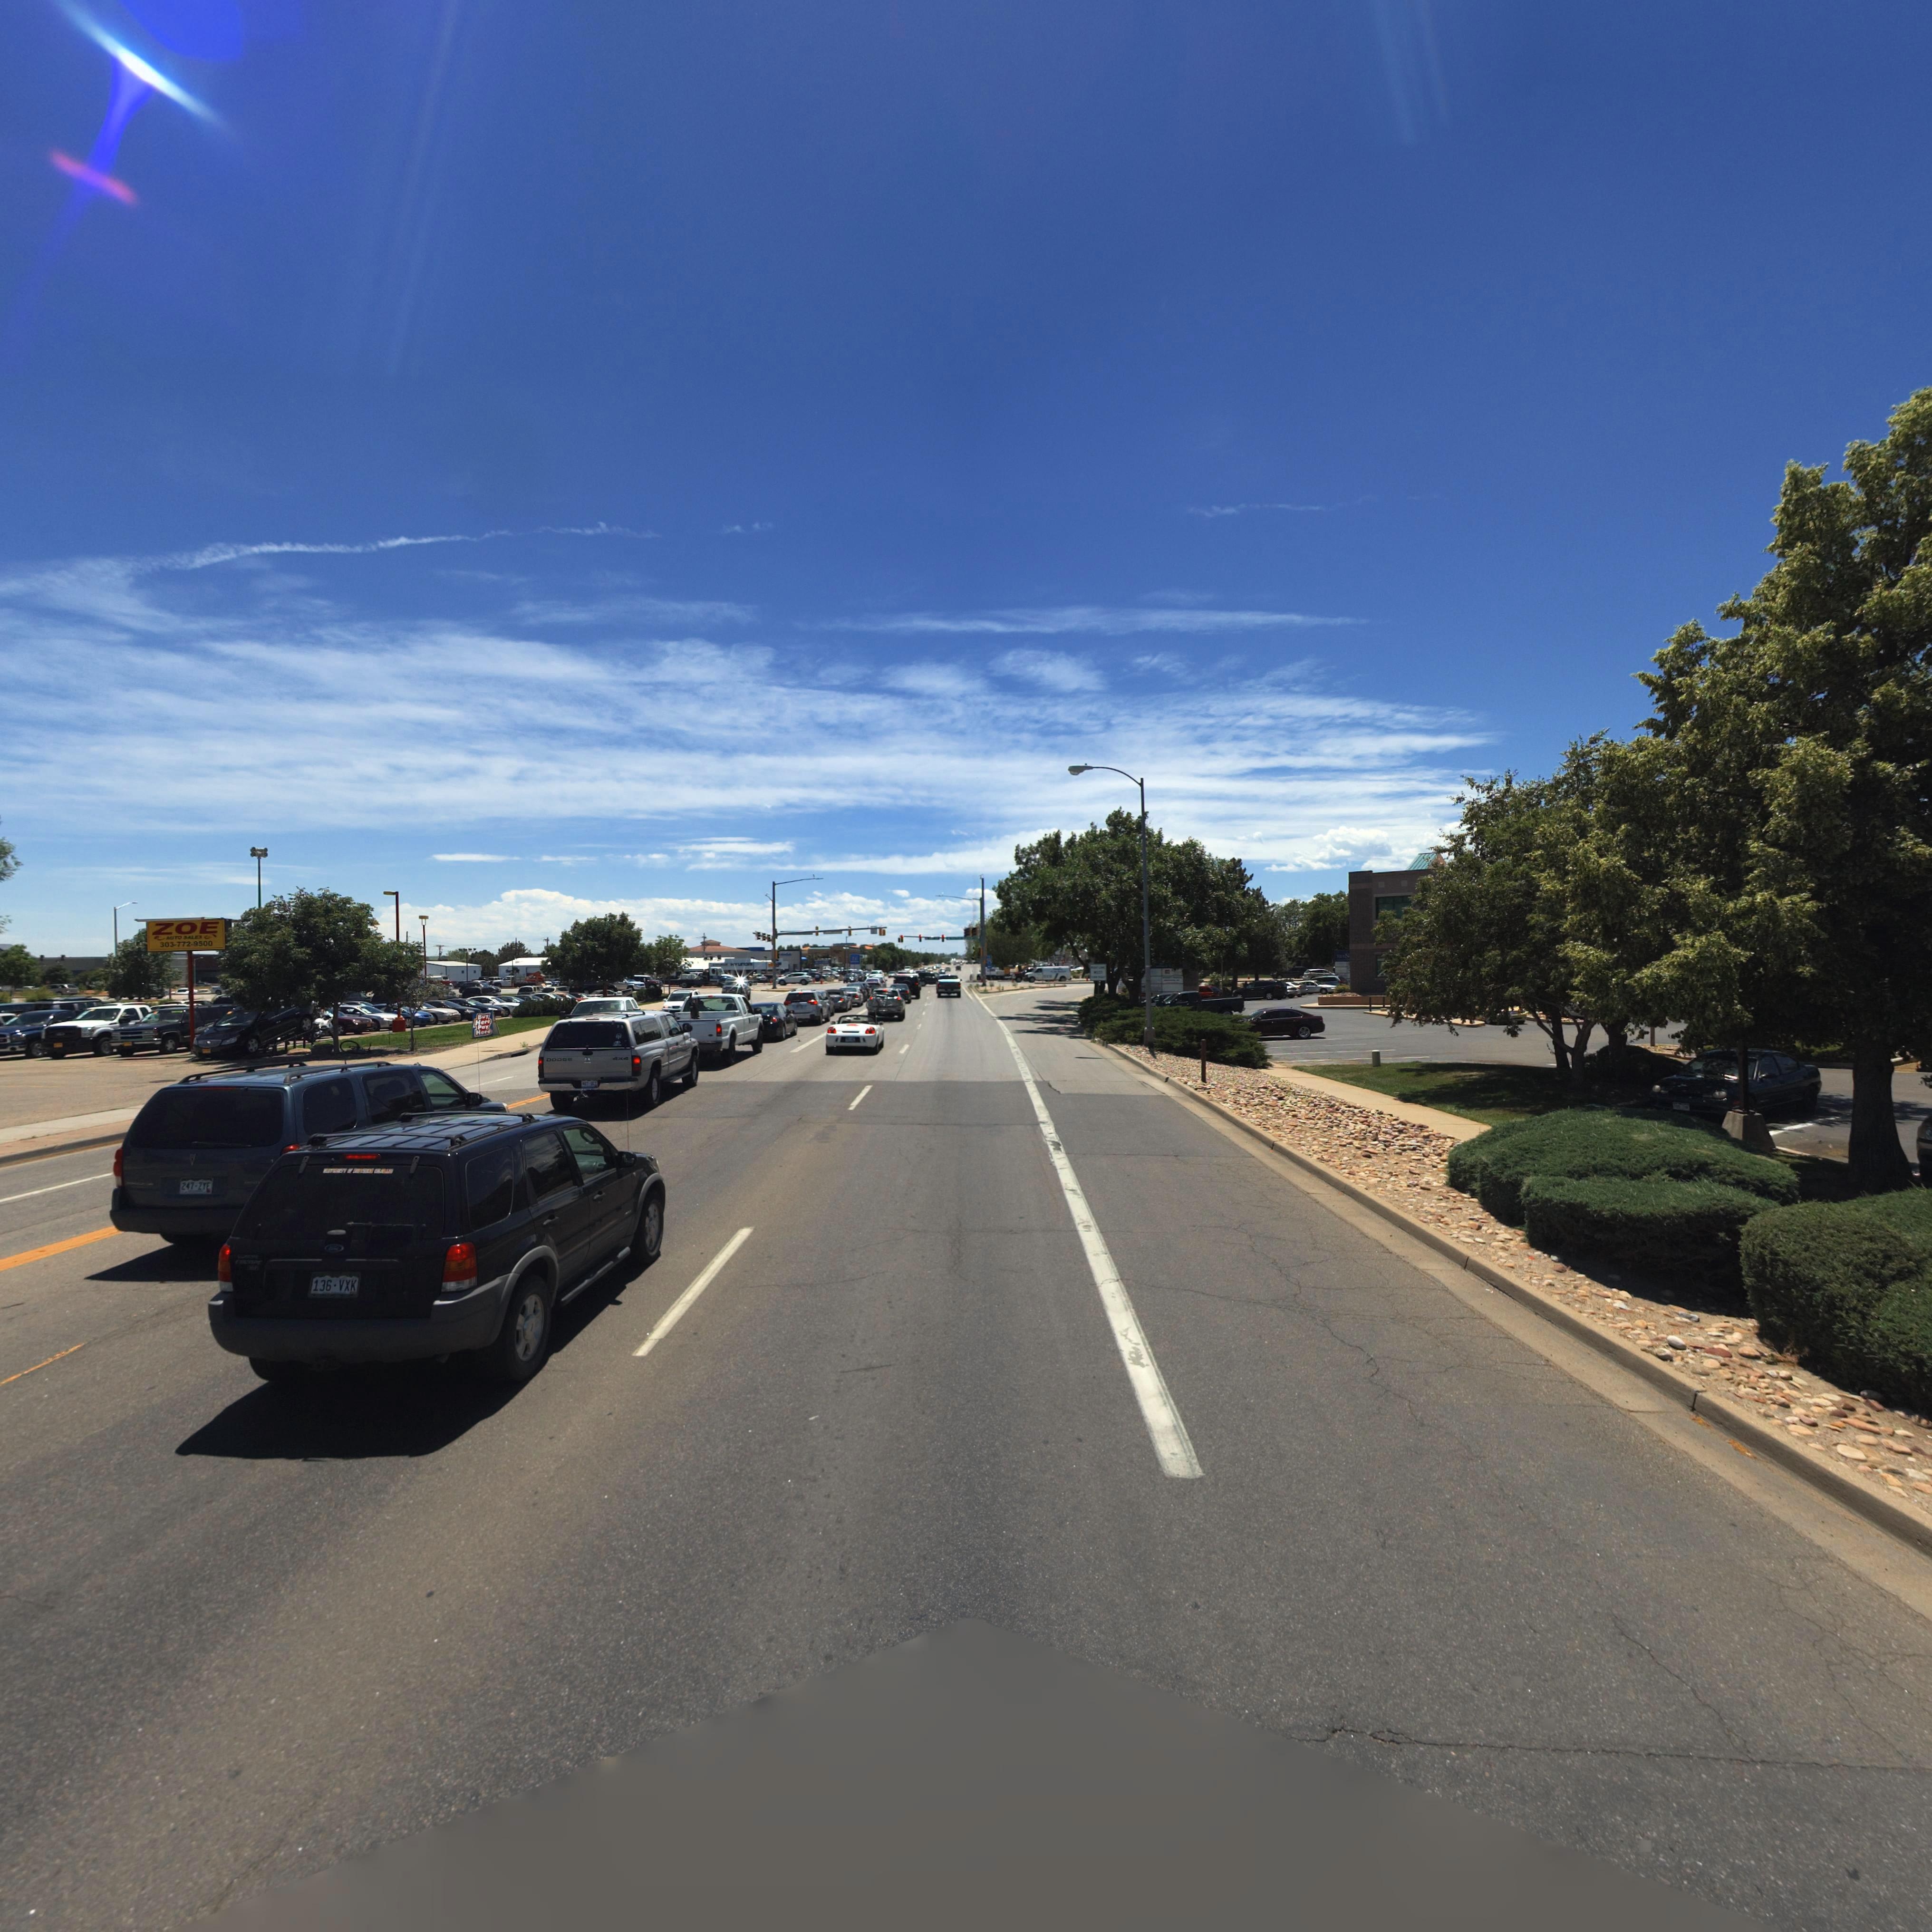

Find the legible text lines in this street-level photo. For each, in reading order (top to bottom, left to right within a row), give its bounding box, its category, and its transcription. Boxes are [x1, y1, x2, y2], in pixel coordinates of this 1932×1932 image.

[152, 921, 220, 935] BusinessName: ZOE
[165, 935, 203, 940] BusinessName: AUTO SALES
[730, 962, 752, 966] BusinessName: HYUnDA